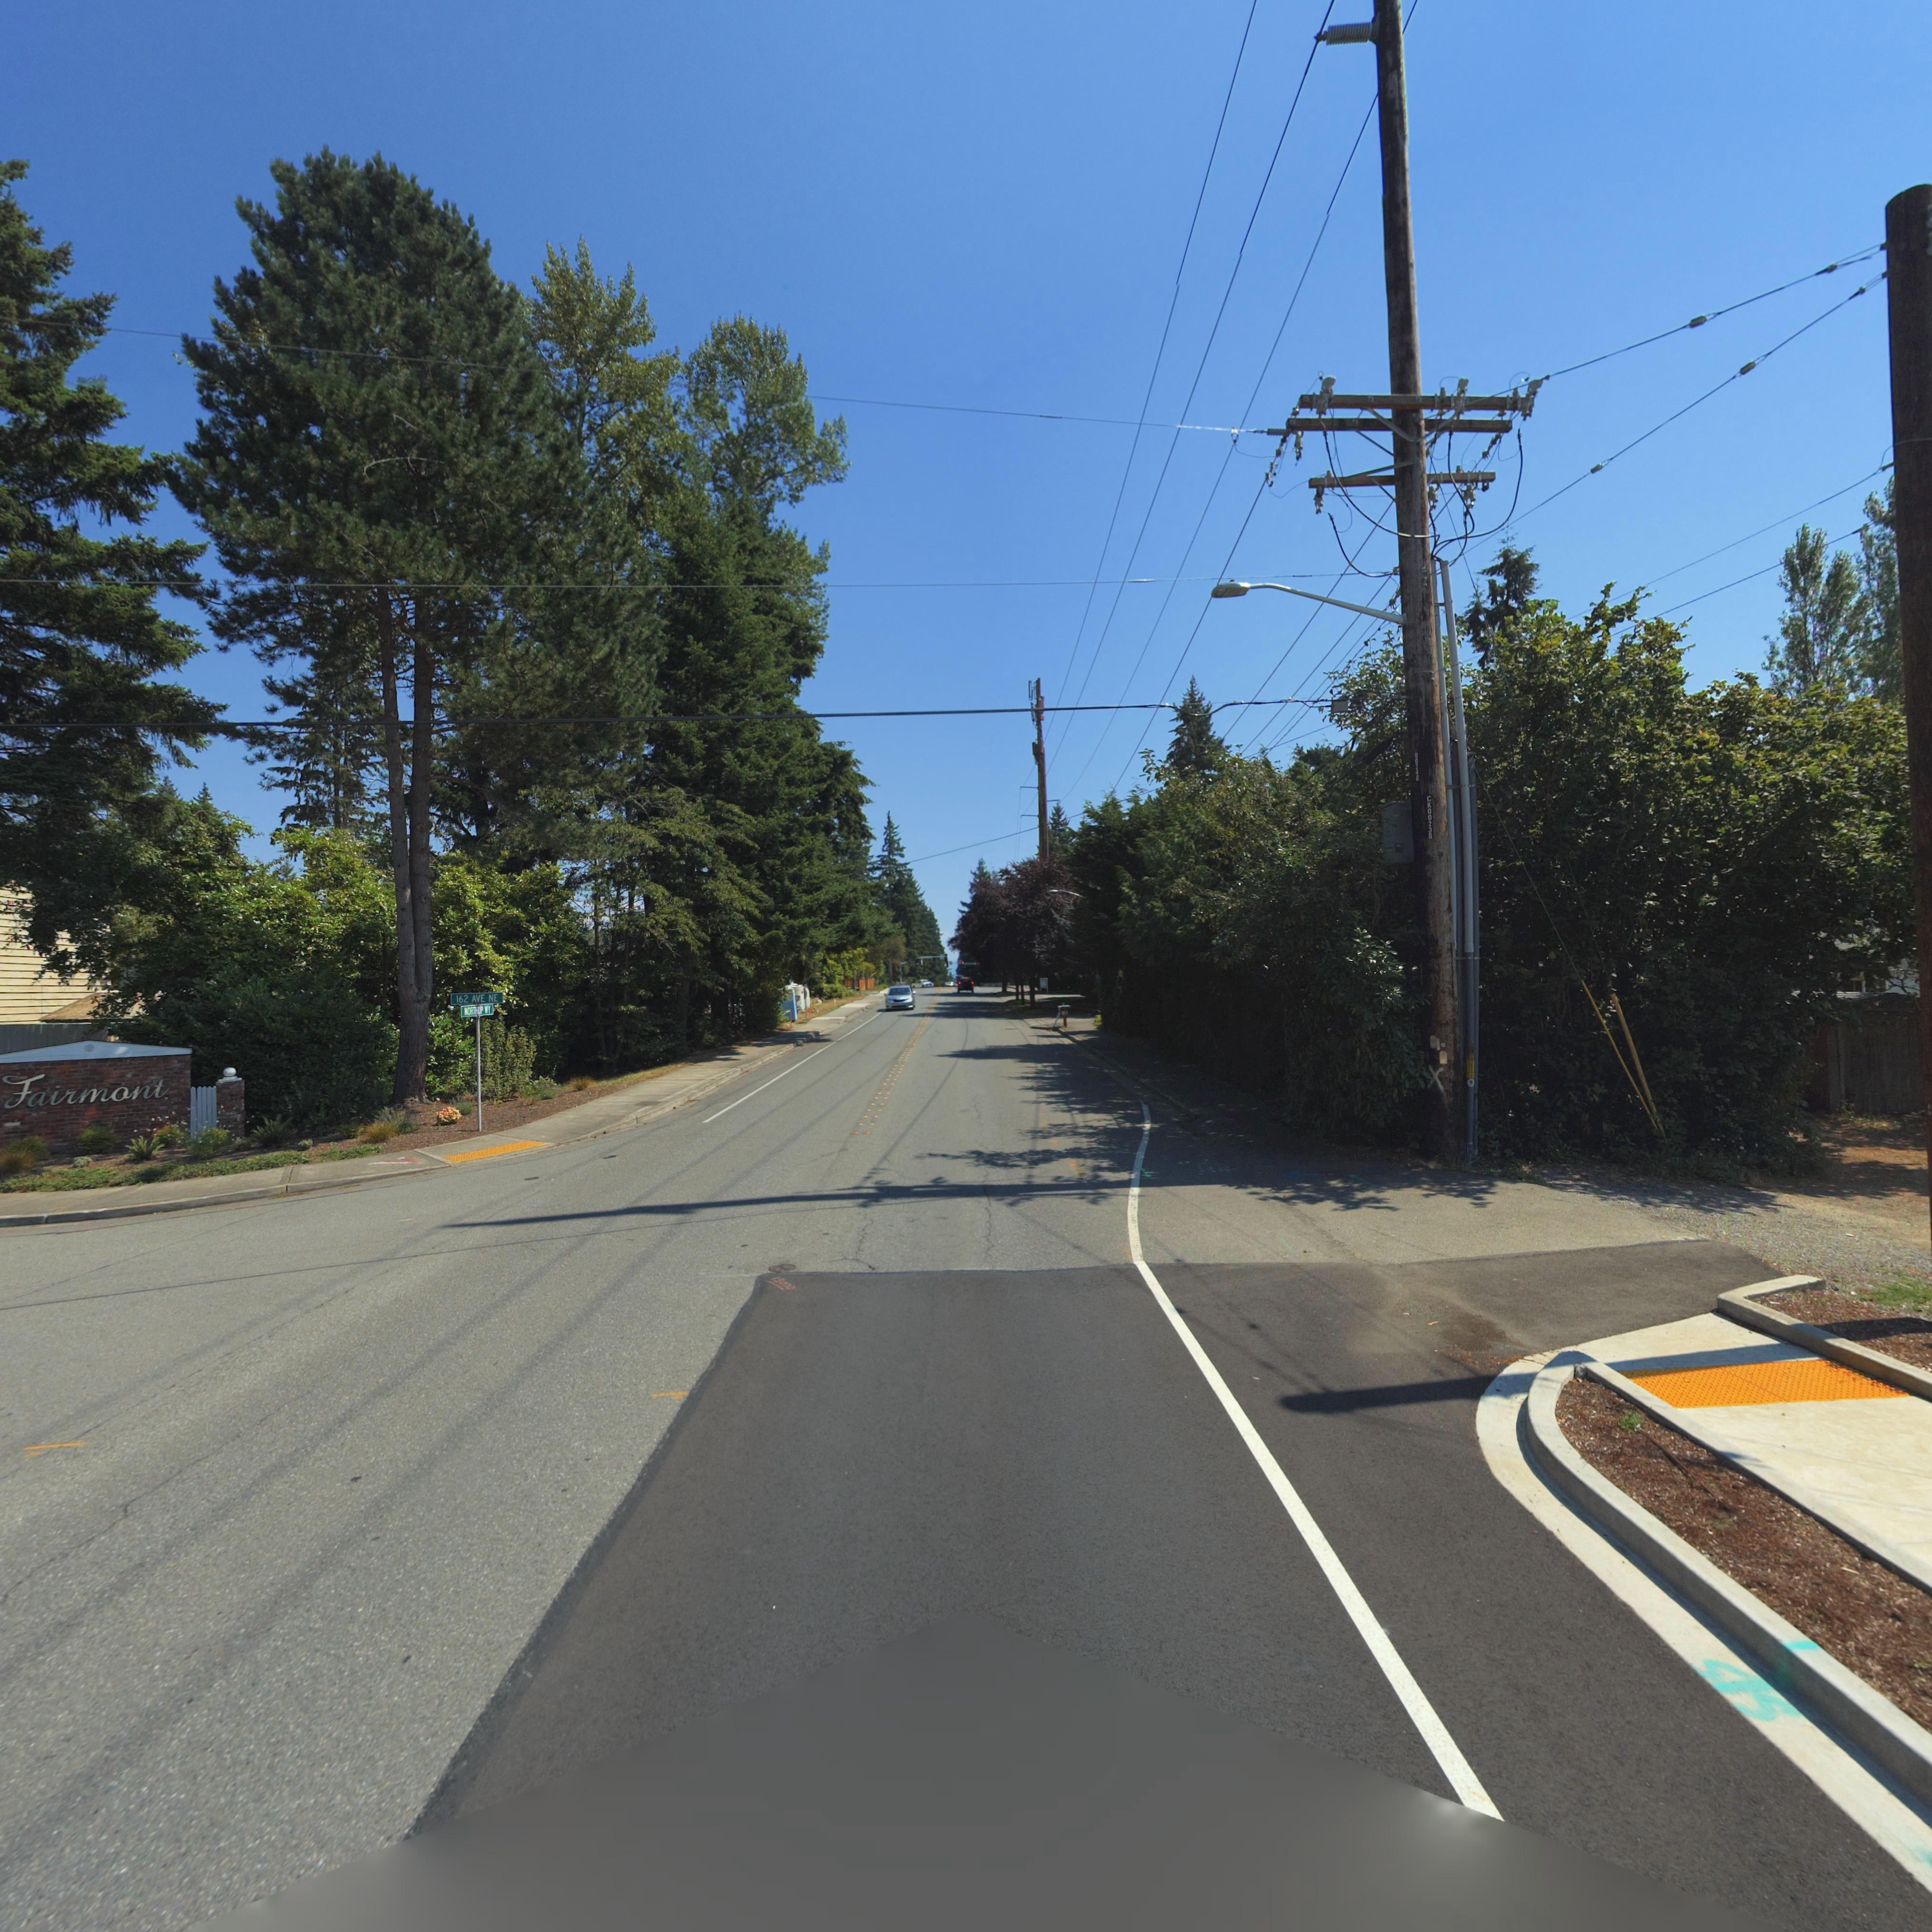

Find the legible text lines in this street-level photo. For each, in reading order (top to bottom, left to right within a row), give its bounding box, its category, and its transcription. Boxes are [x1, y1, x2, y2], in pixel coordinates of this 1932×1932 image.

[455, 994, 498, 1003] StreetName: 162 AVE NE
[464, 1005, 491, 1015] StreetName: NORTHUP WY
[2, 1072, 173, 1111] BusinessName: Fairmont